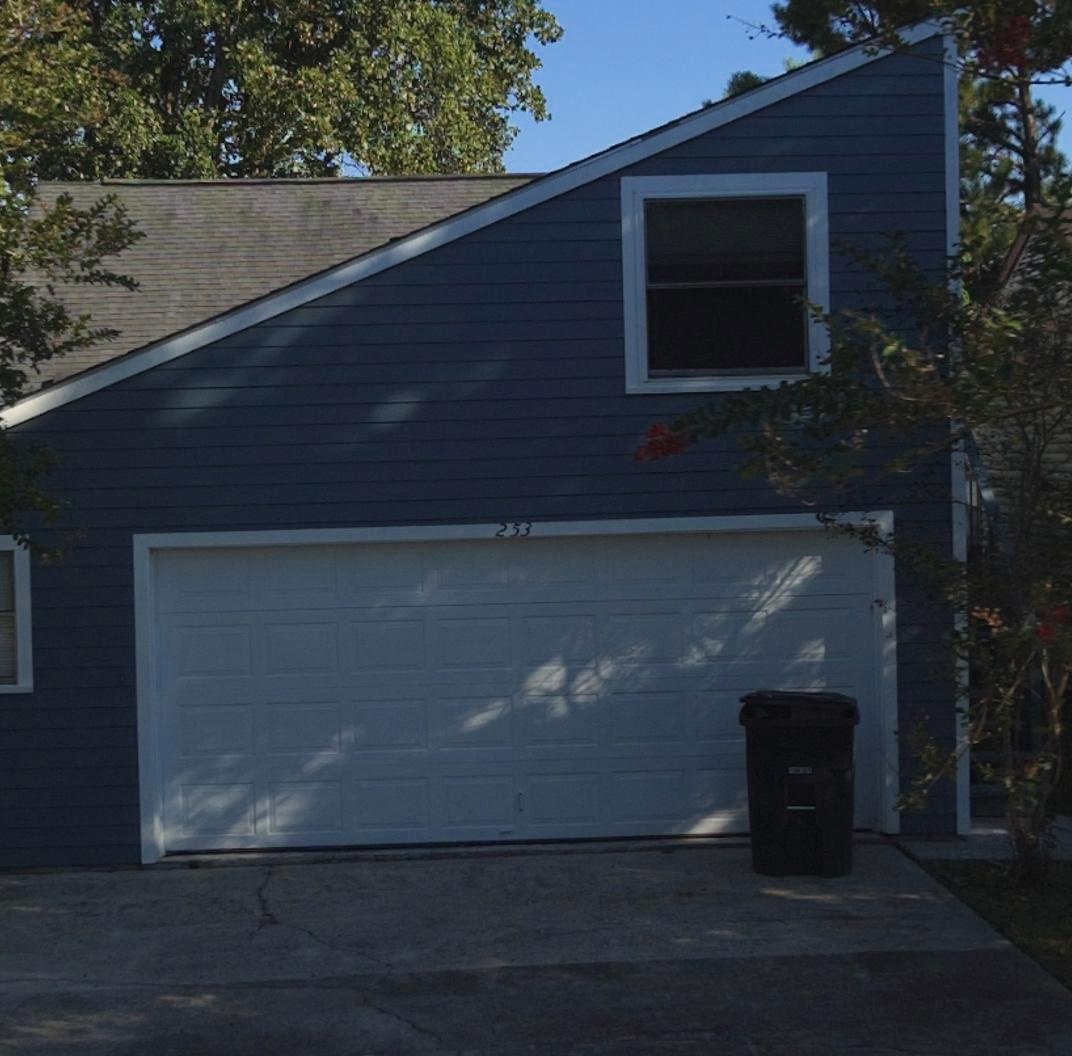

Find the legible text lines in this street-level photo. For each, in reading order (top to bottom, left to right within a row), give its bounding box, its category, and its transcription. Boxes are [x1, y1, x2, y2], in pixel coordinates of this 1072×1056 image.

[495, 522, 532, 538] StreetNumber: 253